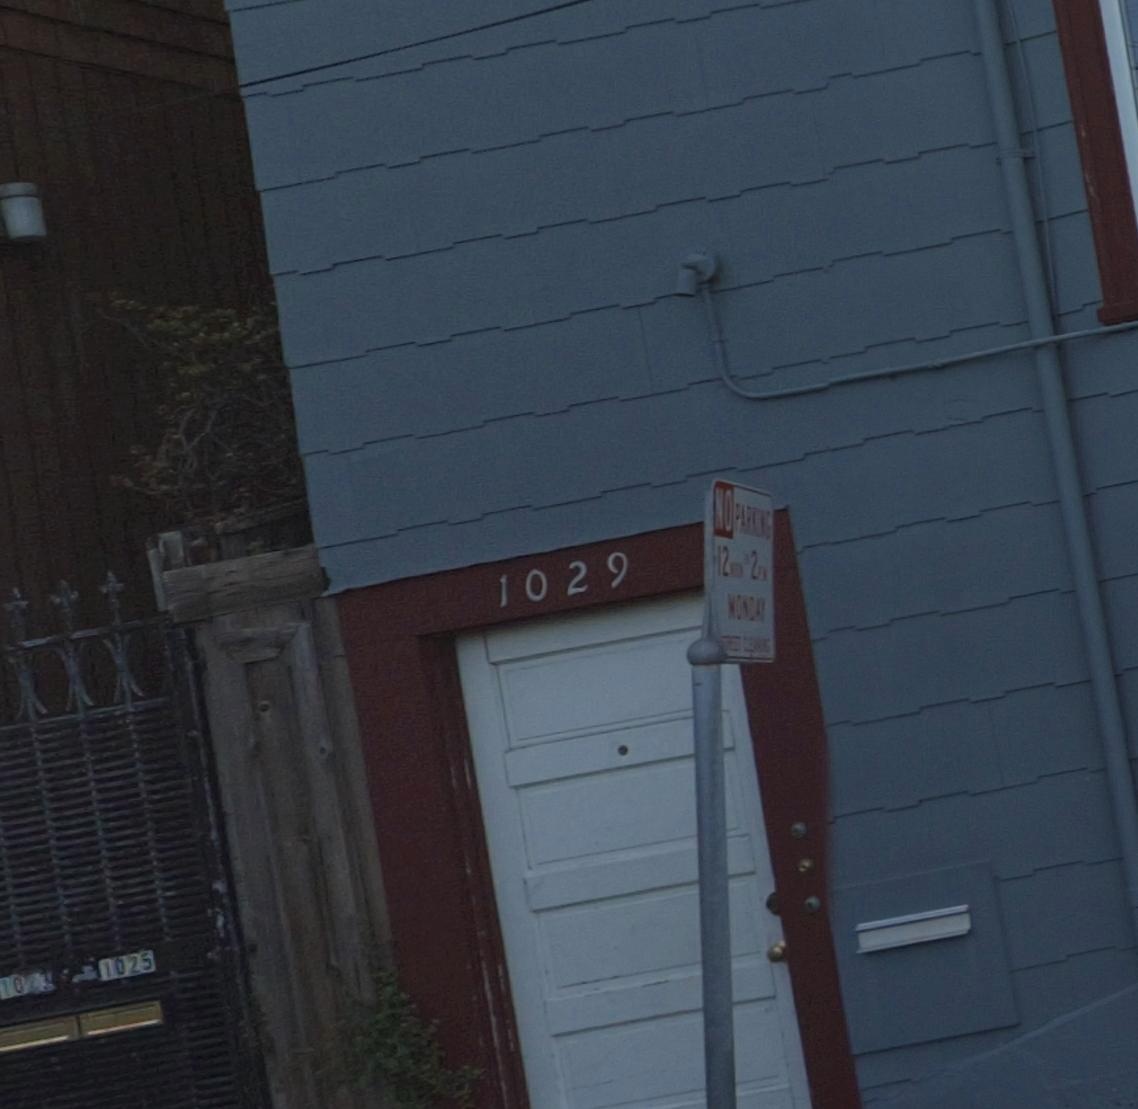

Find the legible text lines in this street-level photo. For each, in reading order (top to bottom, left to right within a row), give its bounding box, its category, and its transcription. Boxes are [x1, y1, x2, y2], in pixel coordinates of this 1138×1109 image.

[716, 485, 734, 534] None: NO
[734, 500, 775, 539] None: PARKING
[497, 548, 635, 611] StreetNumber: 1029
[716, 544, 731, 578] None: 12
[750, 551, 762, 580] None: 2
[99, 950, 155, 981] StreetNumber: 1025
[0, 969, 54, 999] StreetNumber: 10**